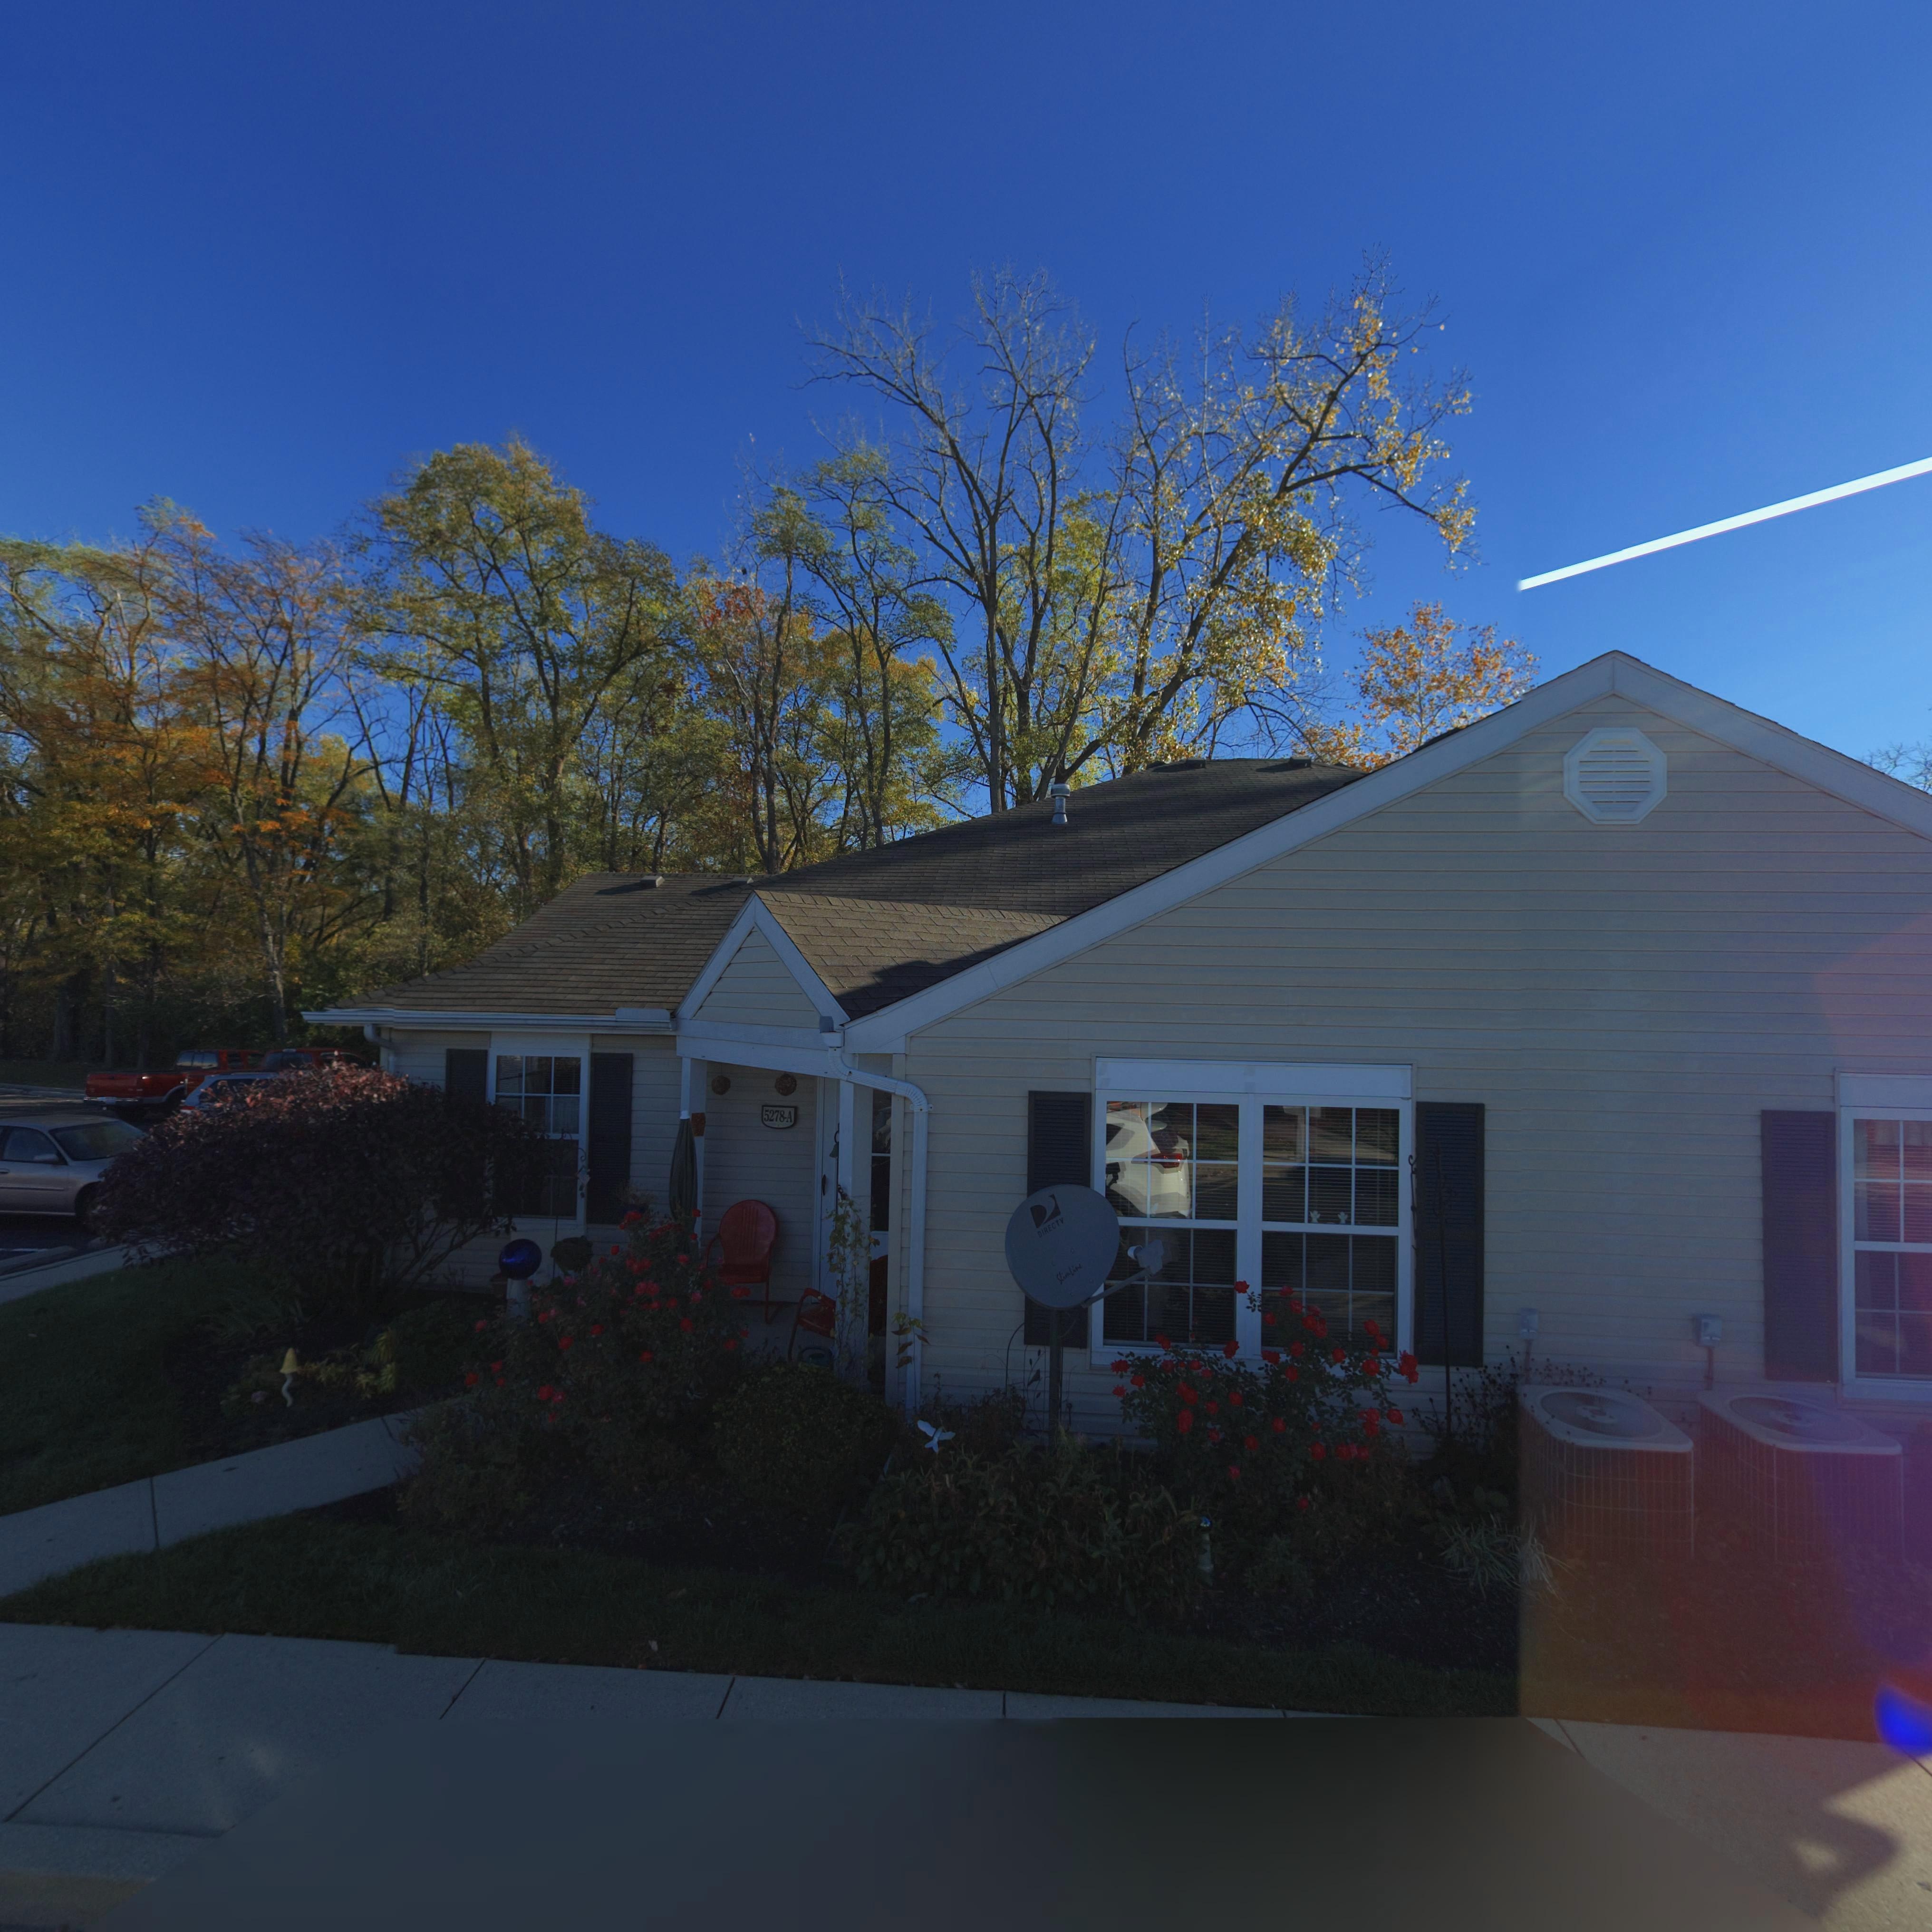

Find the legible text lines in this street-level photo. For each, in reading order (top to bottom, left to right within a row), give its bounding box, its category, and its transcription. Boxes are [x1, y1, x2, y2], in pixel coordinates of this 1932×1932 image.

[763, 1108, 793, 1123] StreetNumber: 5278-A